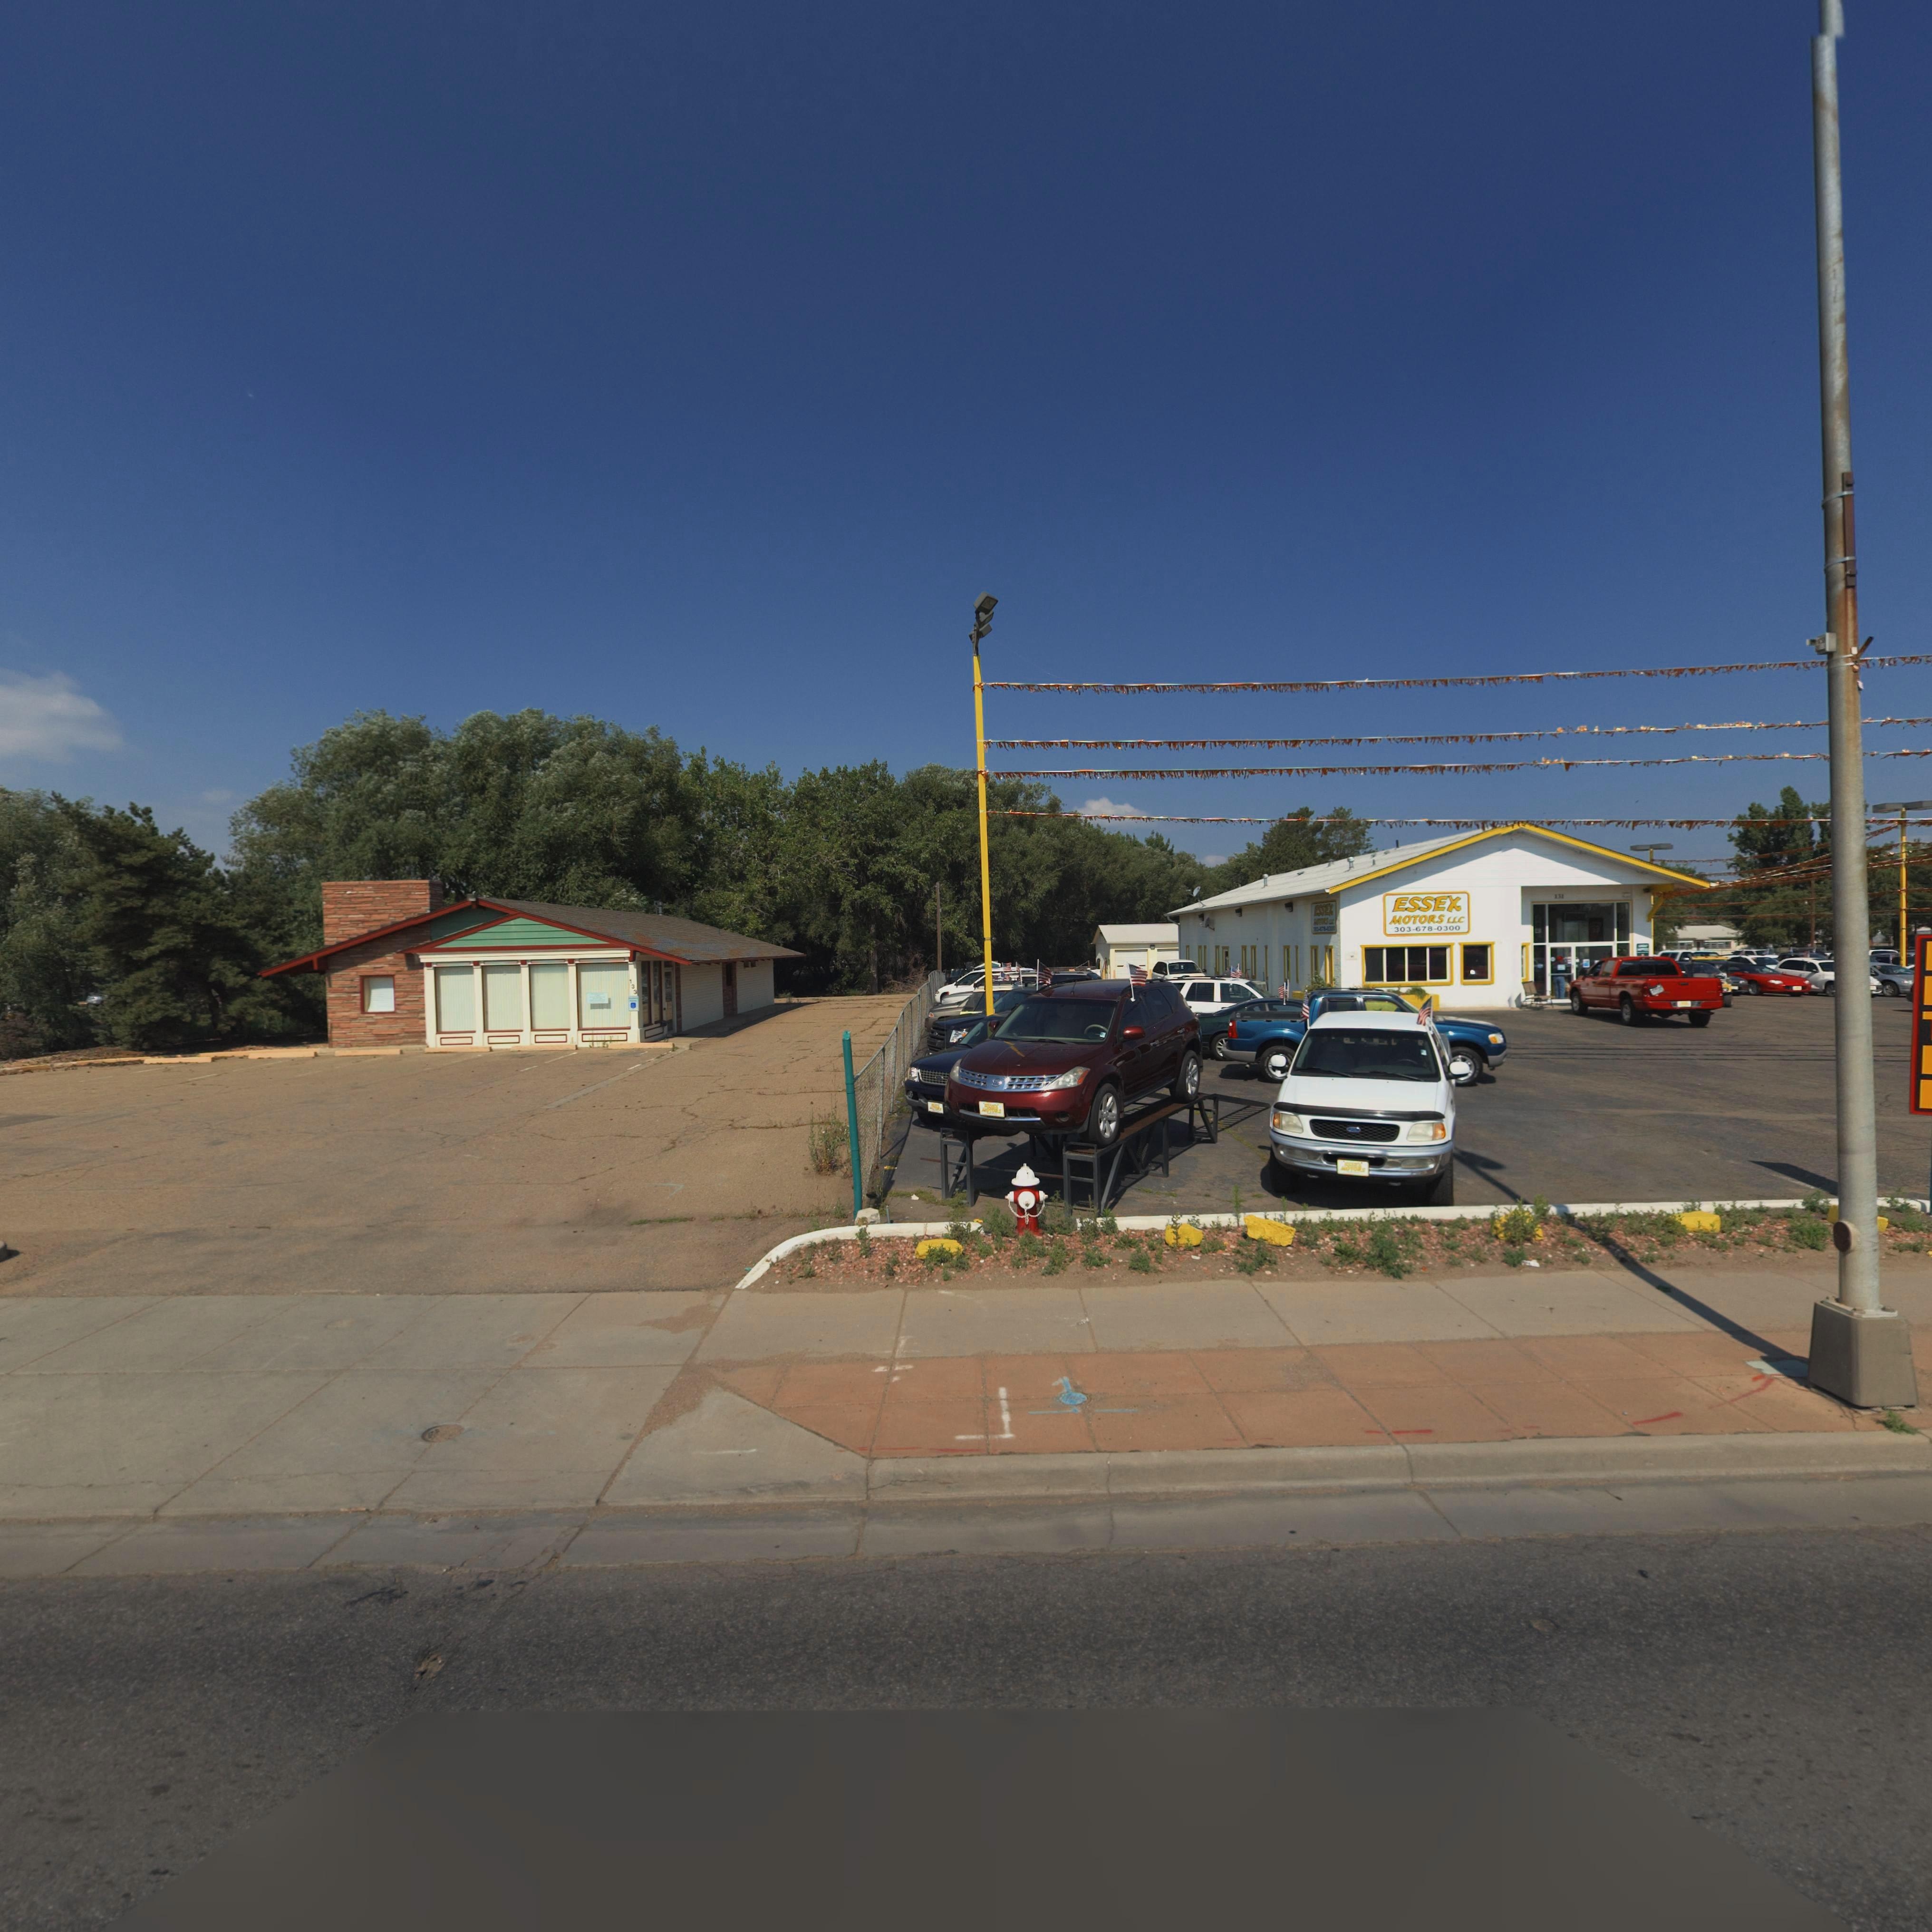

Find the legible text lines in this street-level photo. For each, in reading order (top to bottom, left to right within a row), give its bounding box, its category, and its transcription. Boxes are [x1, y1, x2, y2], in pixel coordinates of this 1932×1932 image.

[1554, 893, 1564, 898] StreetNumber: 131
[1314, 903, 1333, 916] BusinessName: ESSEX
[1391, 895, 1462, 912] BusinessName: ESSEX
[1313, 917, 1334, 926] BusinessName: ****RS ***
[1389, 914, 1465, 925] BusinessName: MOTORS LLC
[629, 979, 637, 994] StreetNumber: 133